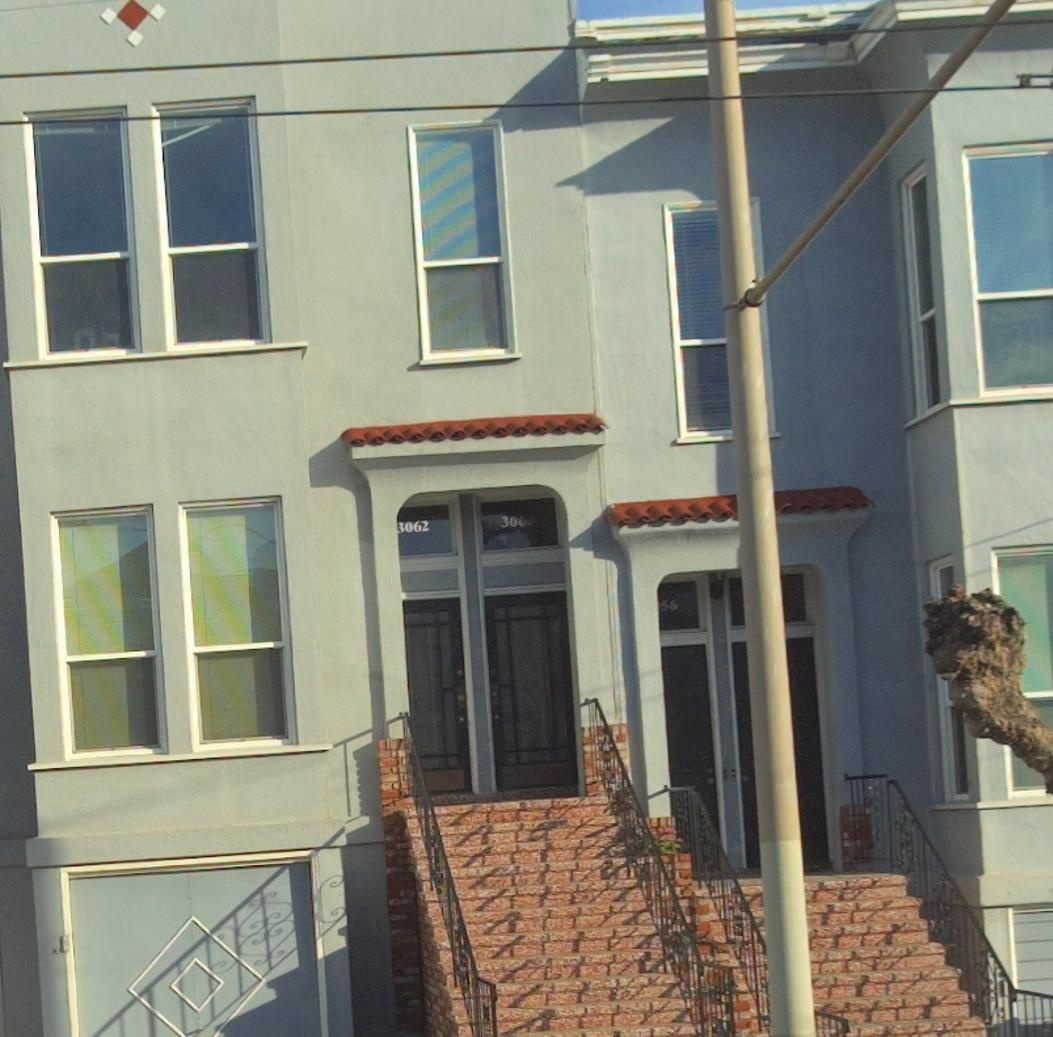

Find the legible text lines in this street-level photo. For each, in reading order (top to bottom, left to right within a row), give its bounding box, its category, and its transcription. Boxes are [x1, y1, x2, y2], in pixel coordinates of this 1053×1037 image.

[396, 518, 431, 536] StreetNumber: 3062
[499, 512, 536, 530] StreetNumber: 3060
[658, 597, 681, 613] StreetNumber: 56